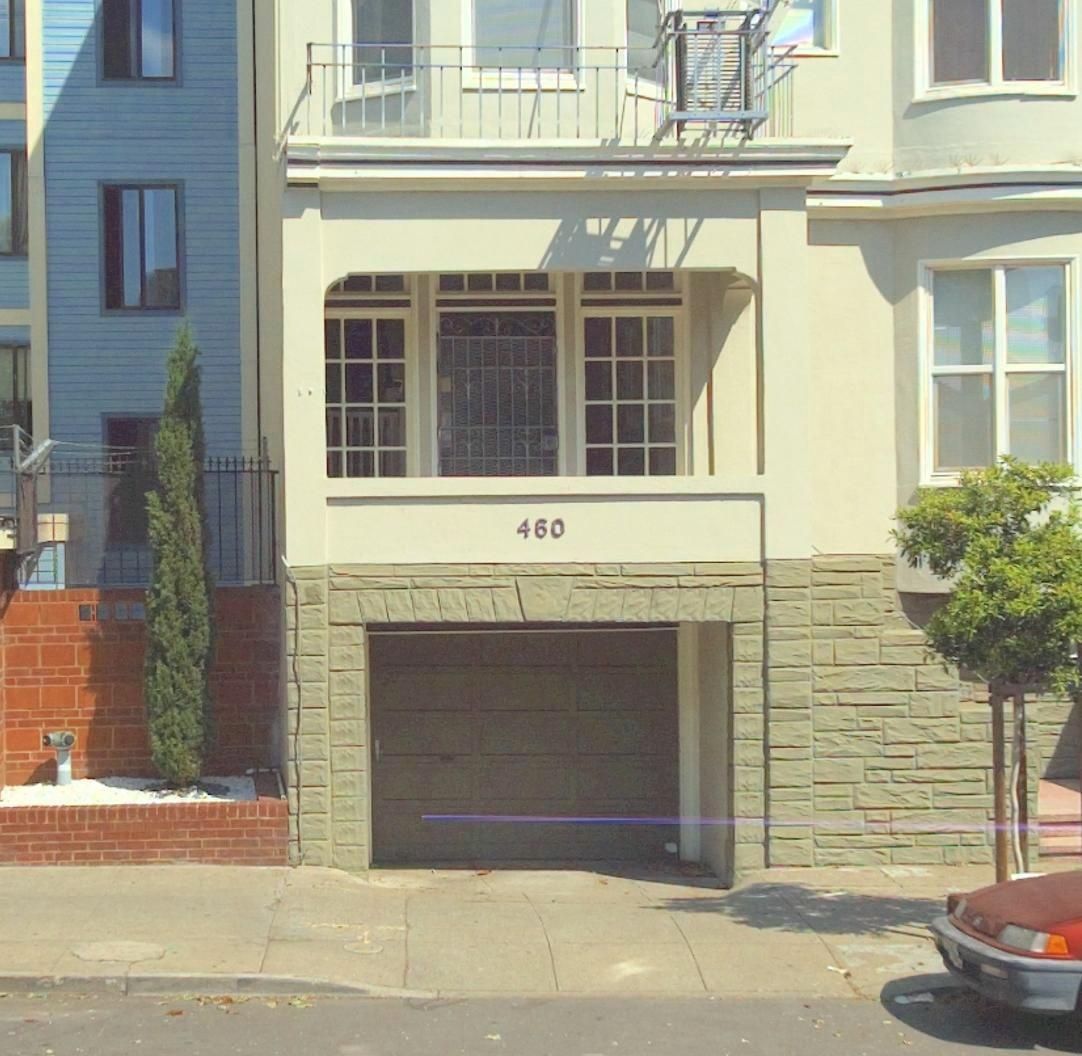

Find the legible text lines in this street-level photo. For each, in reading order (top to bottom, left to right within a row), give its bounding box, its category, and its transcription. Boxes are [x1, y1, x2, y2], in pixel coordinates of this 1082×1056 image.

[516, 517, 567, 539] StreetNumber: 460